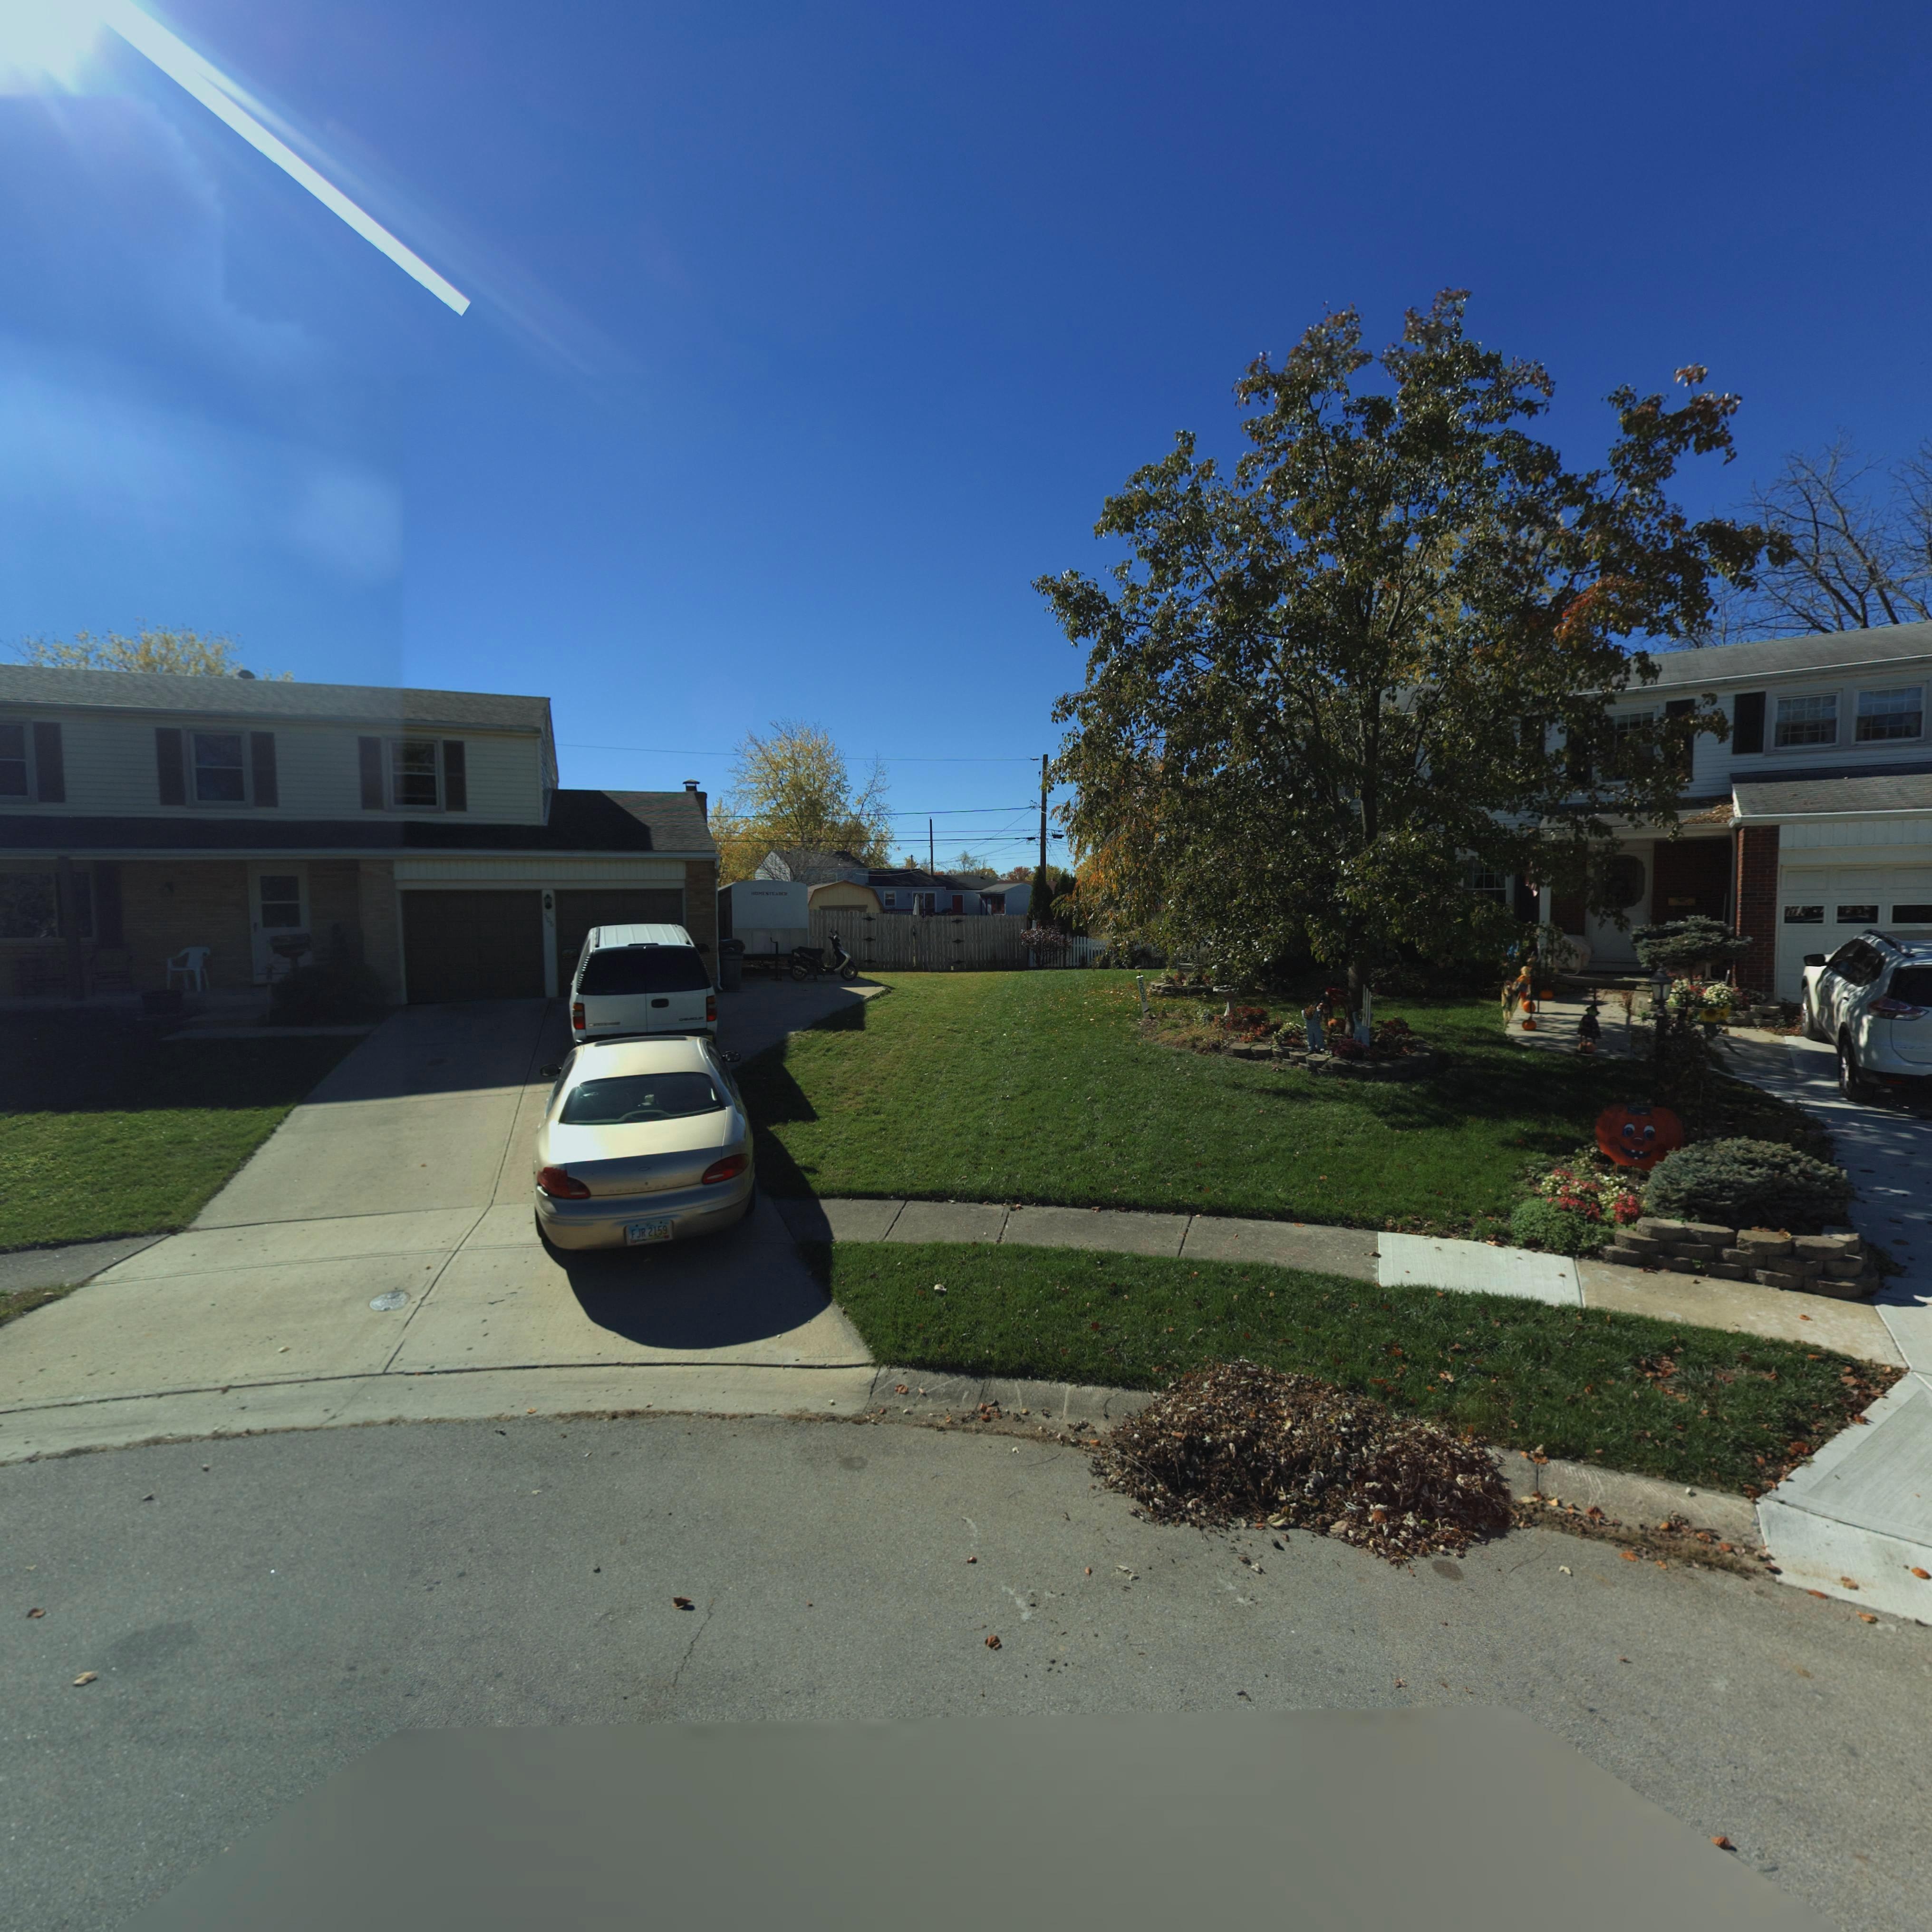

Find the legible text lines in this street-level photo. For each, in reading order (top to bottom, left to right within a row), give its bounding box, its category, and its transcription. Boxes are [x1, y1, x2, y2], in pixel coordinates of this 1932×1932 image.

[542, 912, 555, 928] StreetNumber: *06